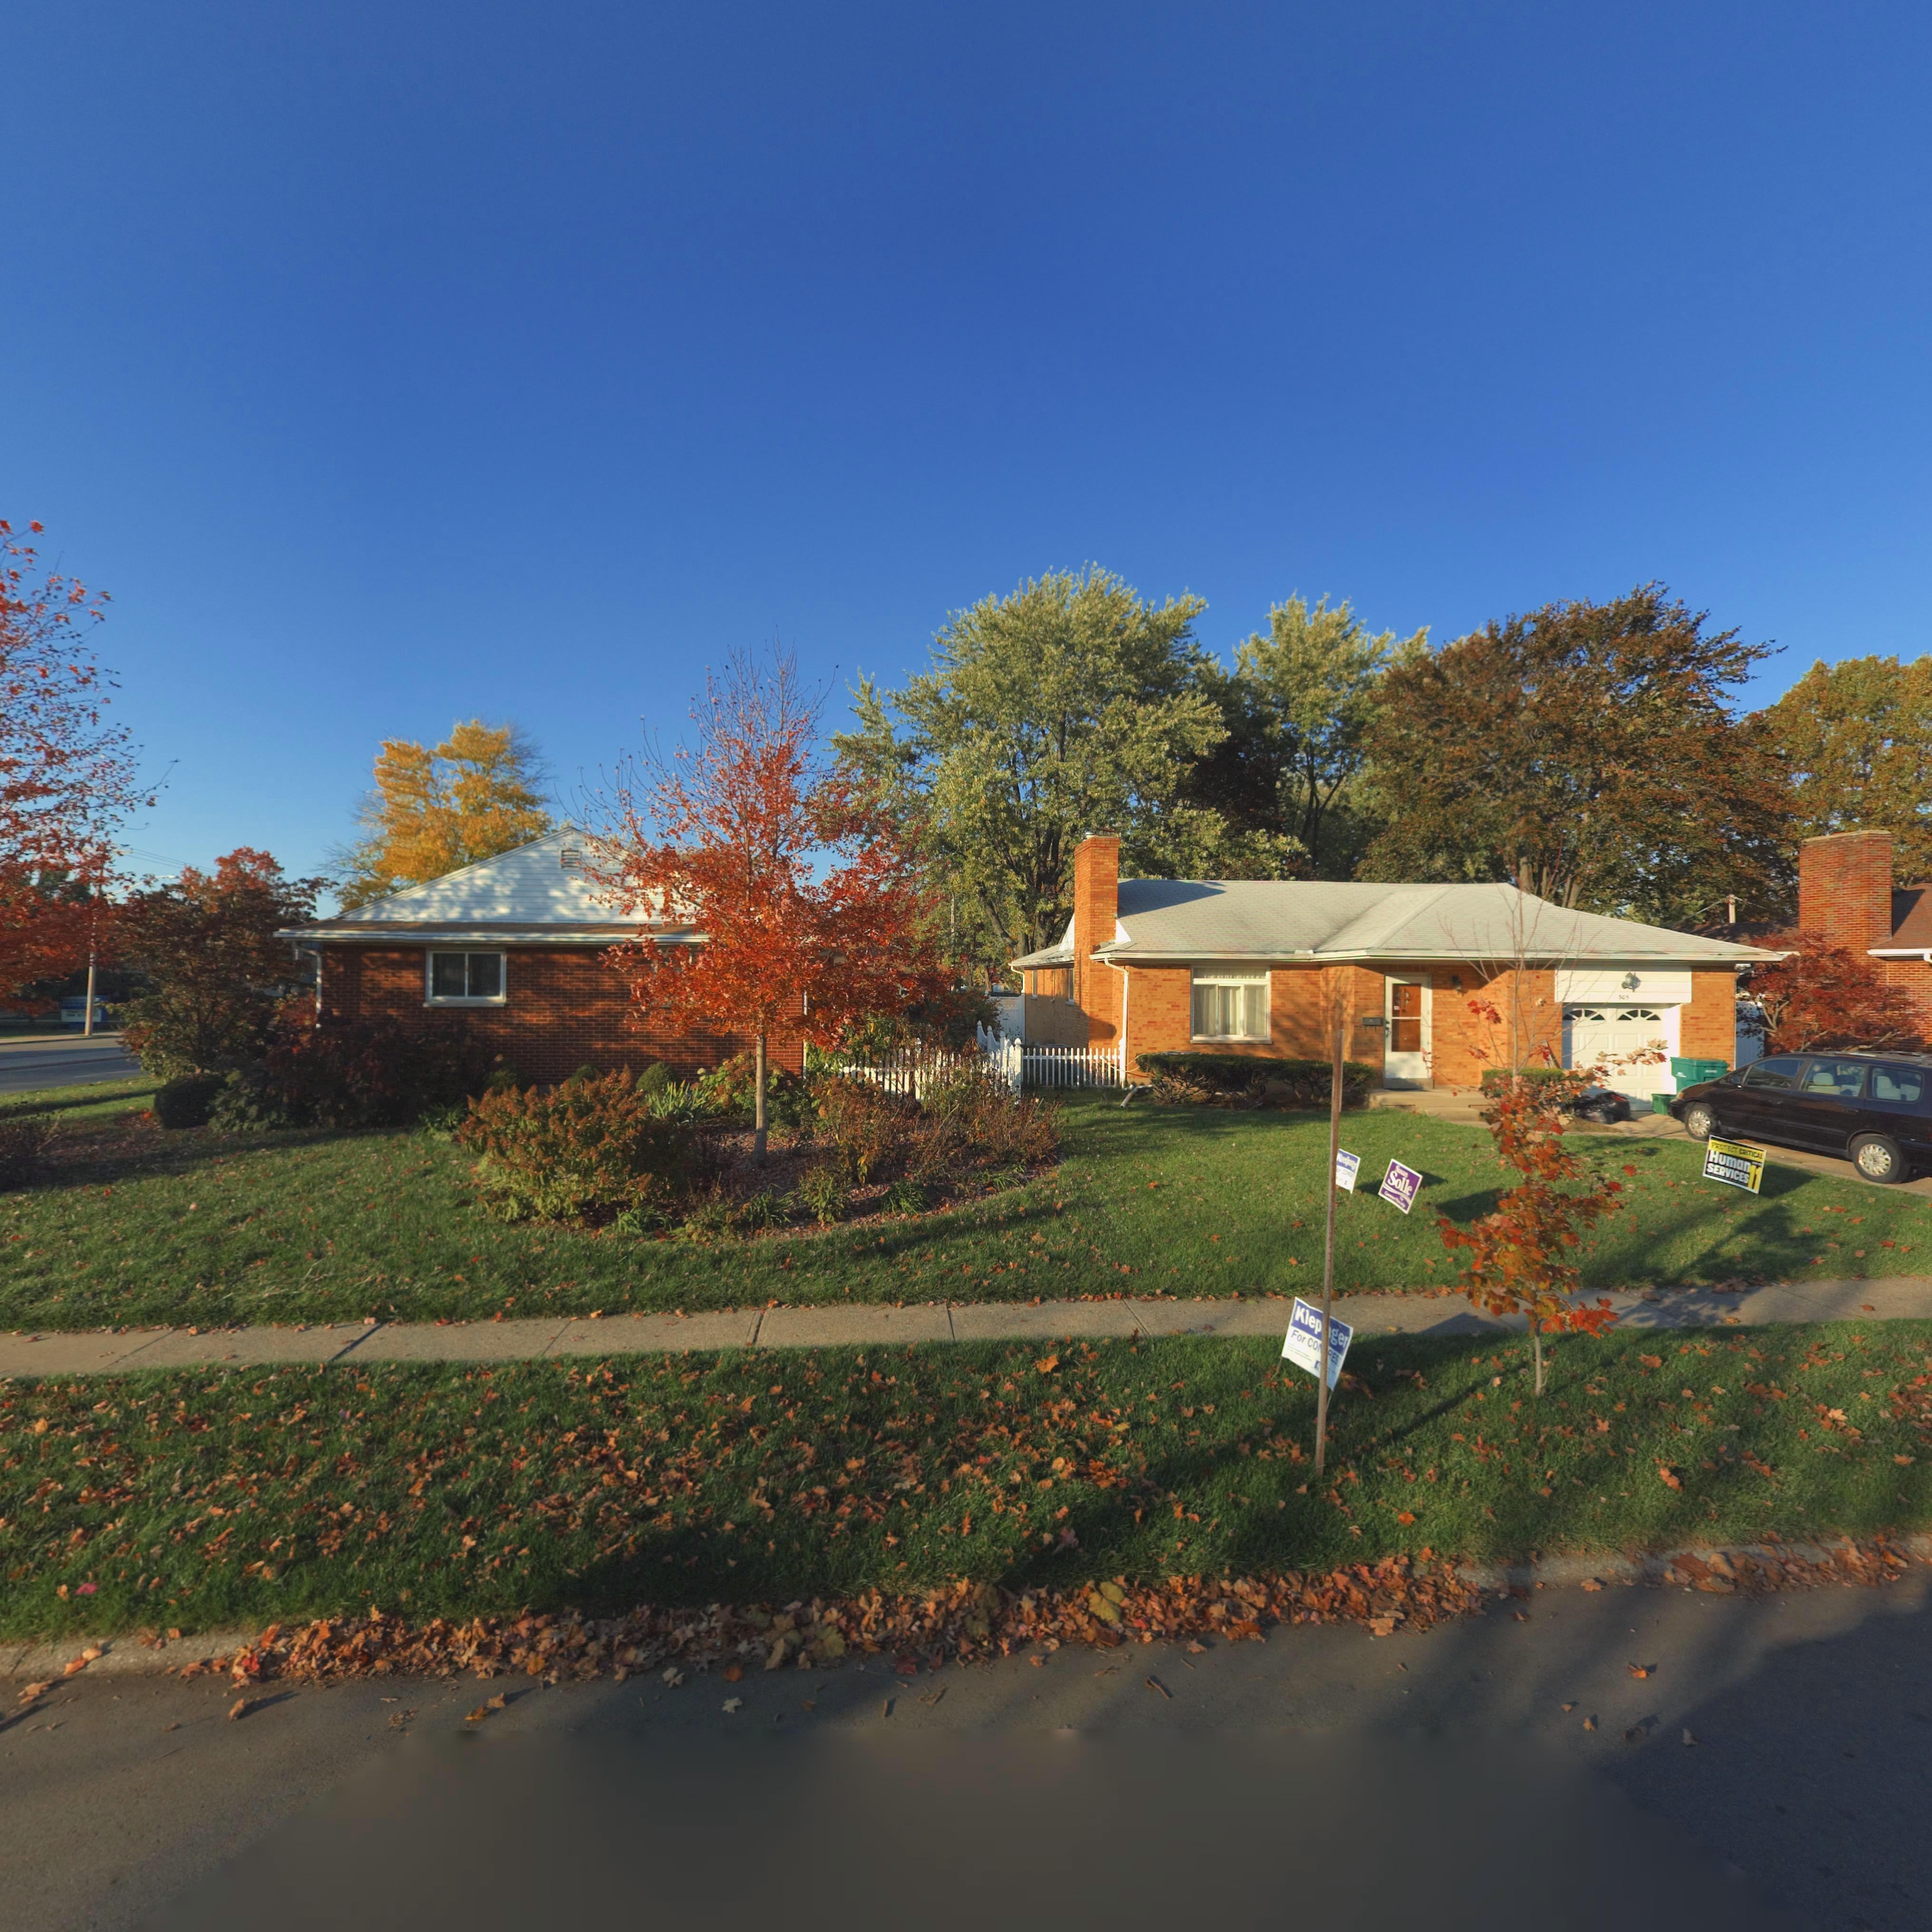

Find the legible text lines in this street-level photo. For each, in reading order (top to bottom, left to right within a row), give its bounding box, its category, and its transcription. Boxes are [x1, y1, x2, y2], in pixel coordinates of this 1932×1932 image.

[1618, 994, 1630, 1001] StreetNumber: 50*
[1705, 1161, 1751, 1185] None: SERVICES
[1708, 1149, 1752, 1175] None: Human